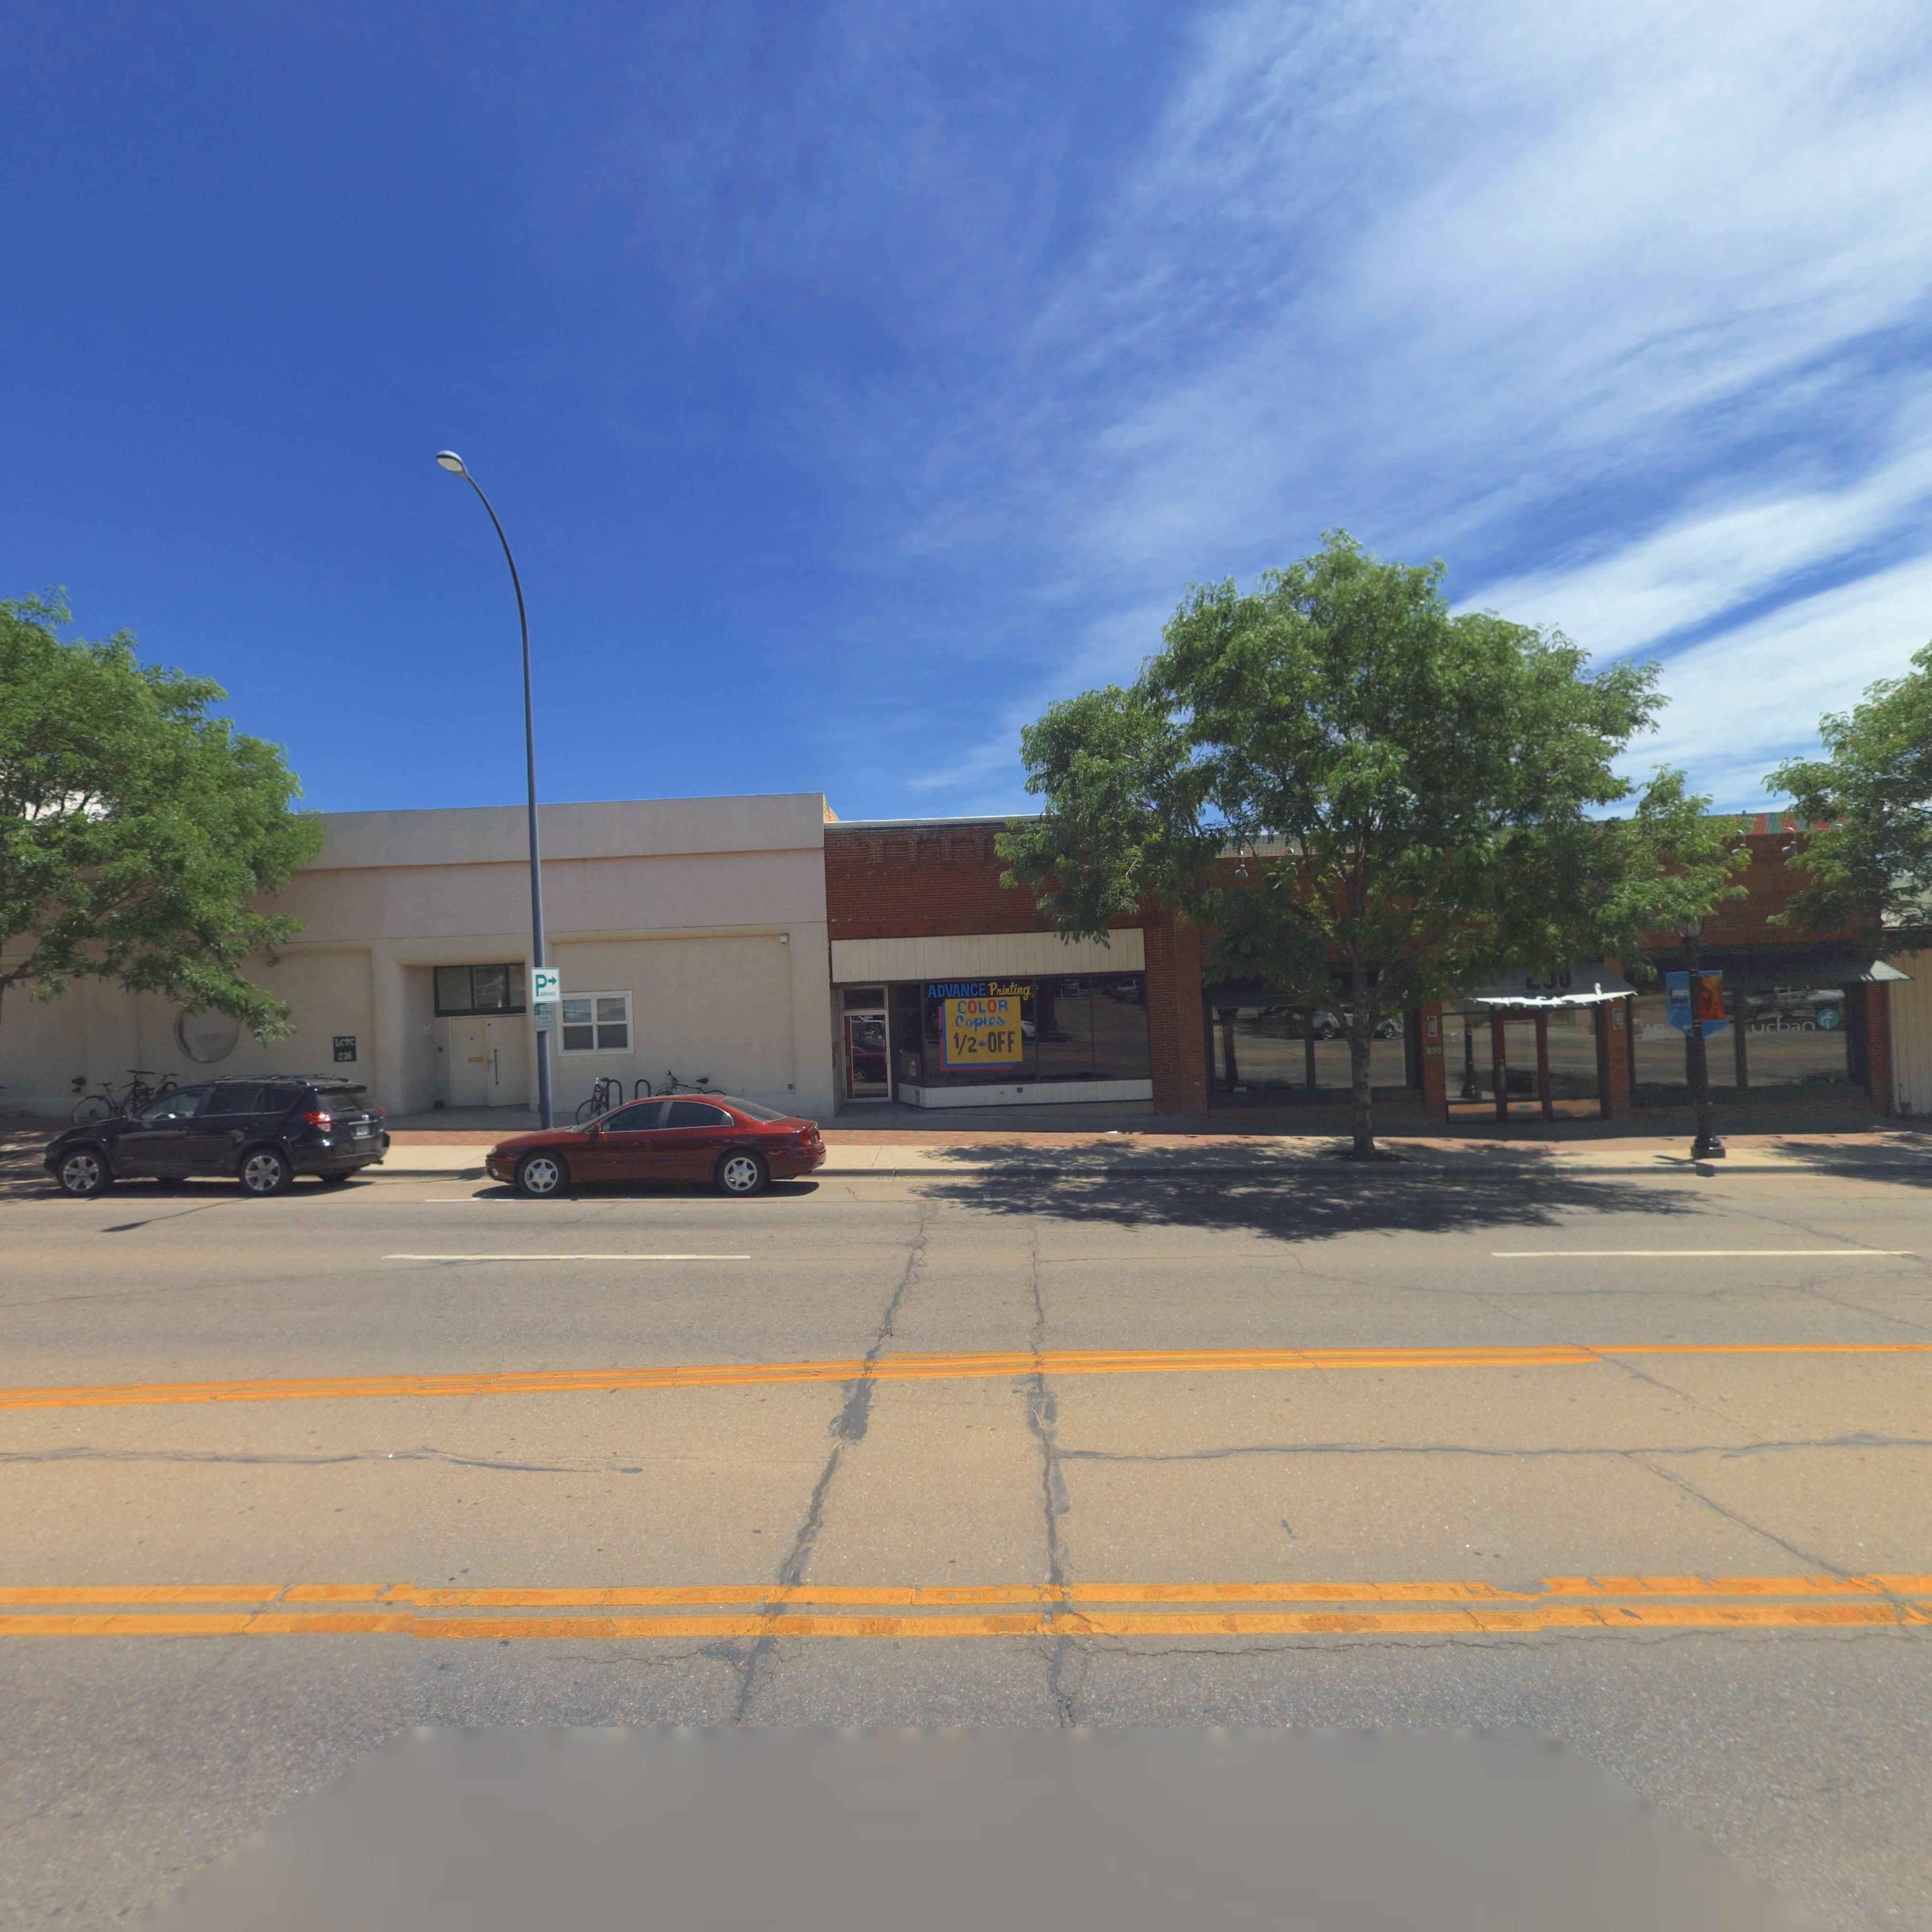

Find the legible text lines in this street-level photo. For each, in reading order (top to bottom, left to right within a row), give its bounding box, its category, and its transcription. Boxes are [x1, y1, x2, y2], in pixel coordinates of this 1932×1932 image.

[1523, 959, 1574, 992] StreetNumber: 230
[927, 981, 1034, 1002] BusinessName: ADVANCE Printing
[863, 1015, 872, 1020] StreetNumber: 232
[334, 1037, 355, 1048] BusinessName: LCTC
[337, 1051, 353, 1061] StreetNumber: 236
[1426, 1047, 1442, 1054] StreetNumber: 230